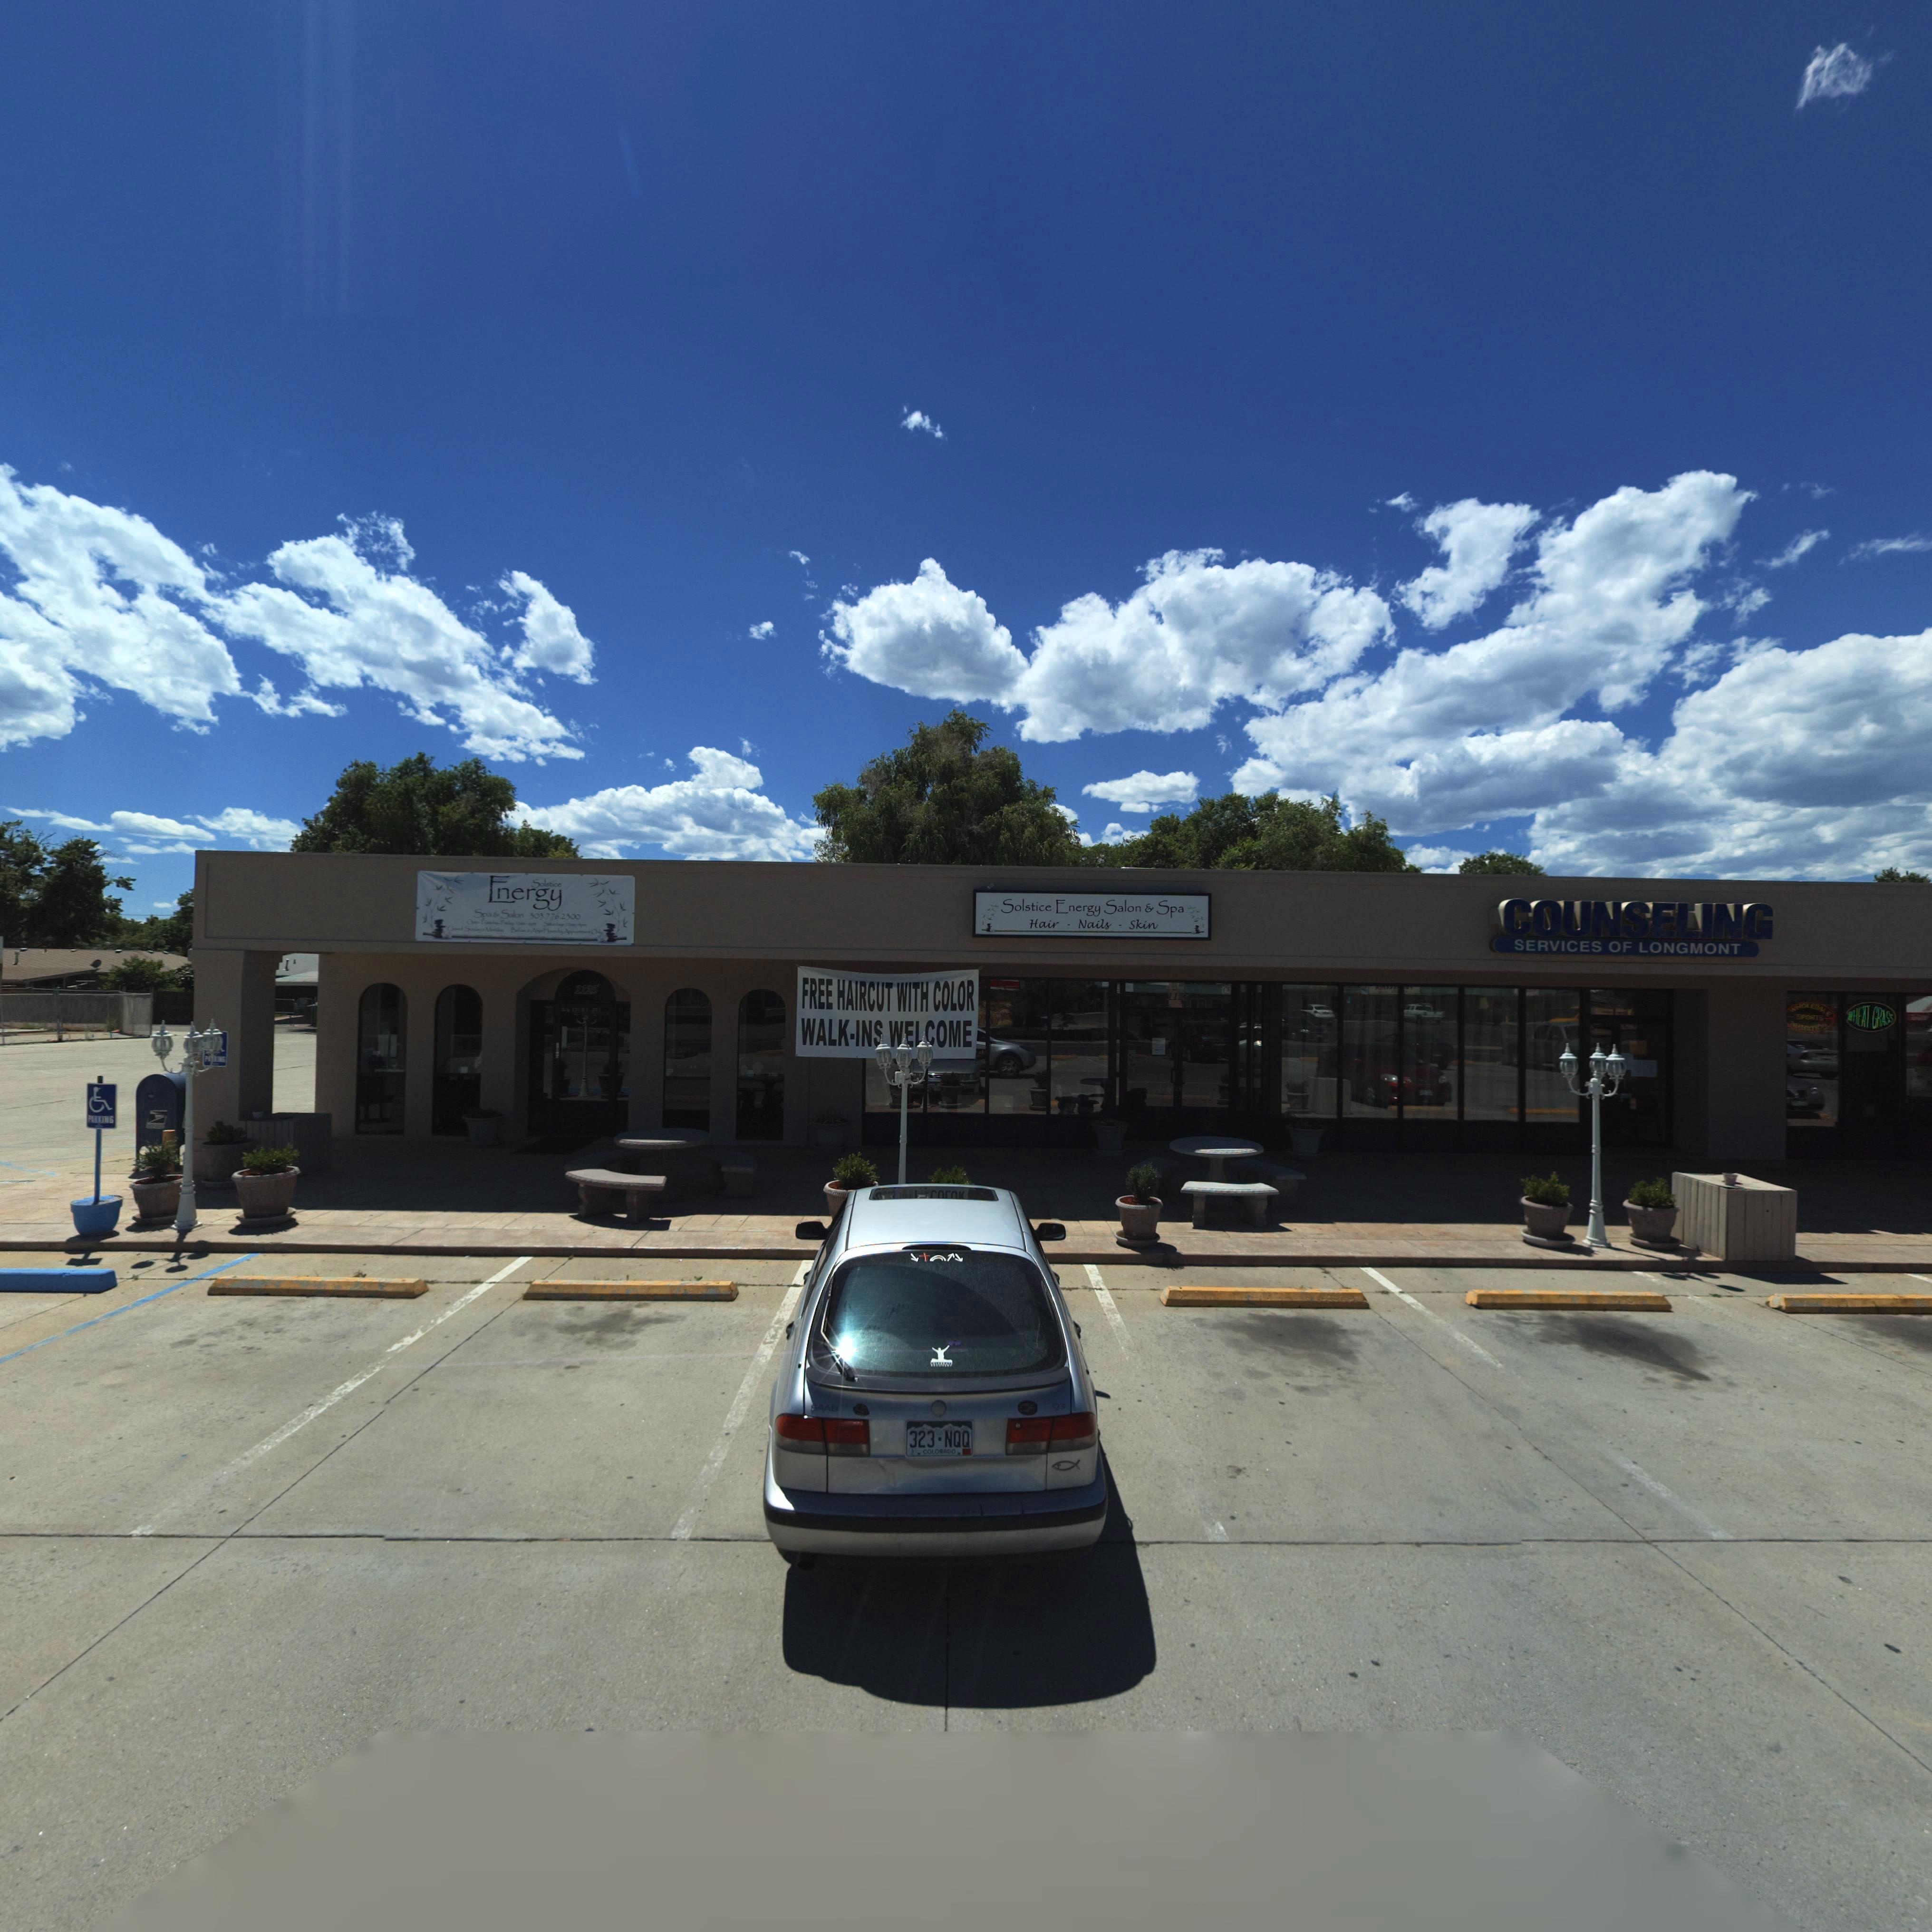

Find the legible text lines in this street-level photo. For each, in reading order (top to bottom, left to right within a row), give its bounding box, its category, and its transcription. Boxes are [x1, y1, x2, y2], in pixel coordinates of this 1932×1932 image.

[530, 878, 561, 888] BusinessName: Solstice
[487, 874, 562, 911] BusinessName: Energy
[472, 908, 524, 921] BusinessName: Spa * Salon
[1000, 898, 1185, 919] BusinessName: Solstice Energy Salon * Spa
[1502, 897, 1774, 940] BusinessName: COUNSELING
[1513, 938, 1743, 956] BusinessName: SERVICES OF LONGMONT
[573, 984, 600, 995] StreetNumber: 1125